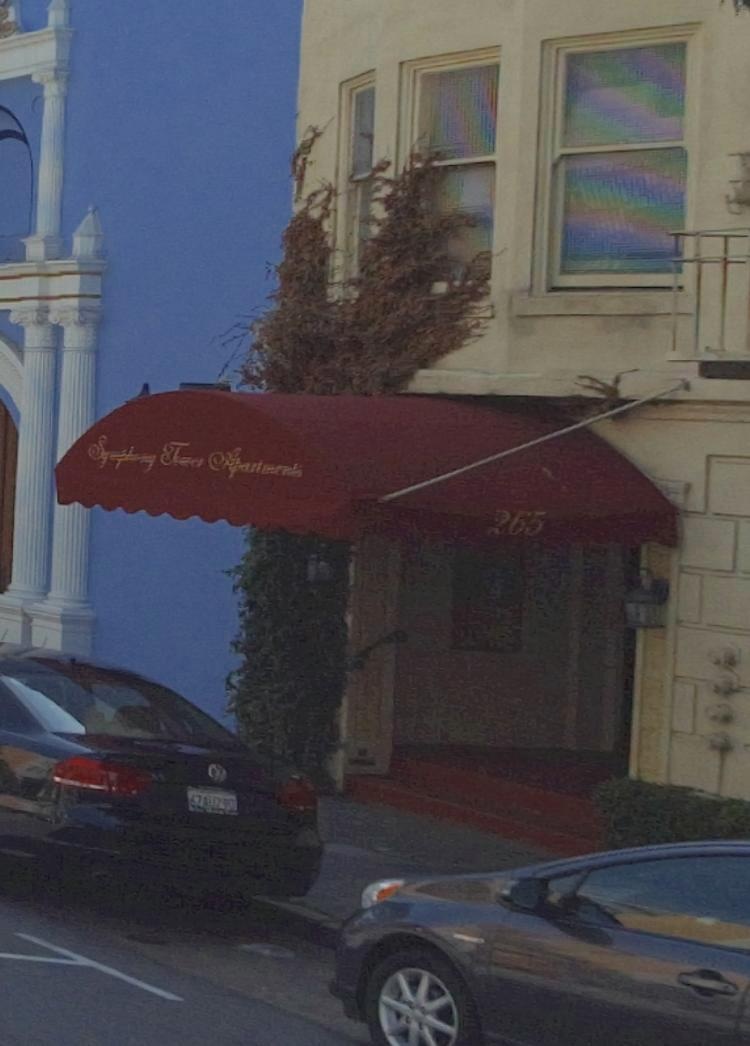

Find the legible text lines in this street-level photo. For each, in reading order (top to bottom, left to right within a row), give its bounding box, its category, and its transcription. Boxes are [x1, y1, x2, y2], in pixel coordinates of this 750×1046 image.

[486, 507, 549, 541] StreetNumber: 265